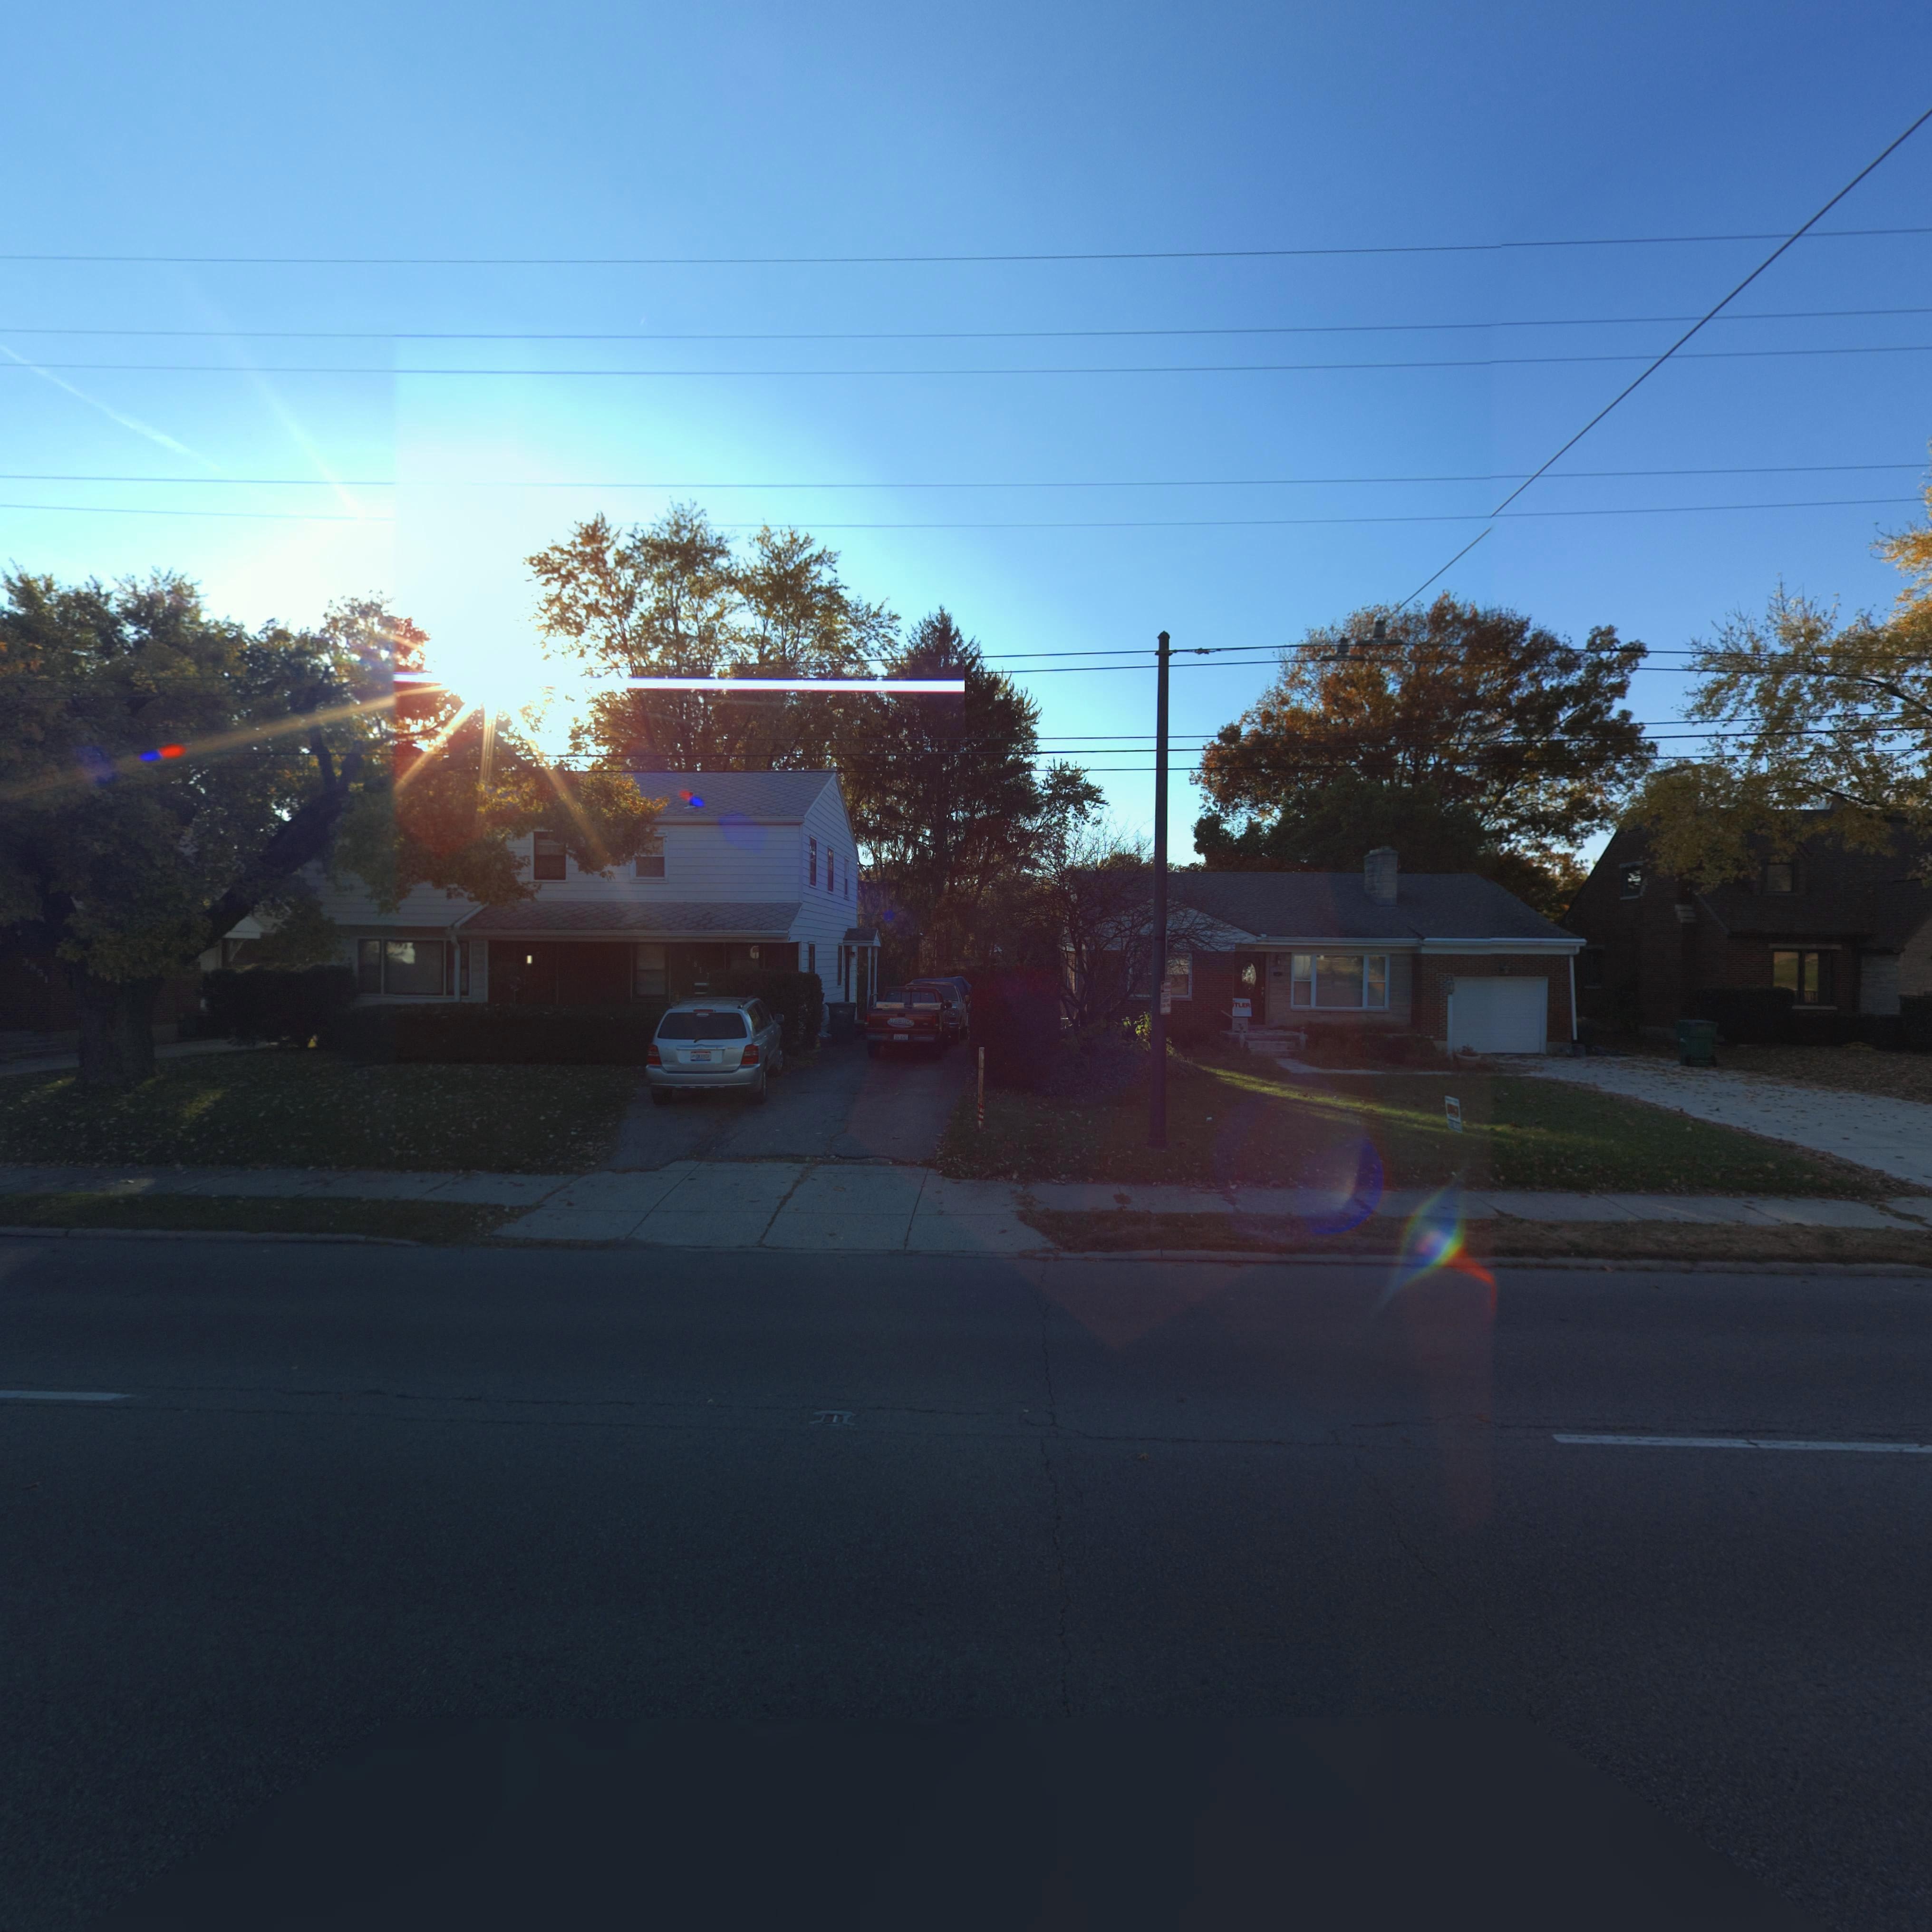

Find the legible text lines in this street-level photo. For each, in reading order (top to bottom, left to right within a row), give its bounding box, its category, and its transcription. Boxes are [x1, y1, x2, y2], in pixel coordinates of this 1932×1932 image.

[686, 954, 711, 980] StreetNumber: 3817